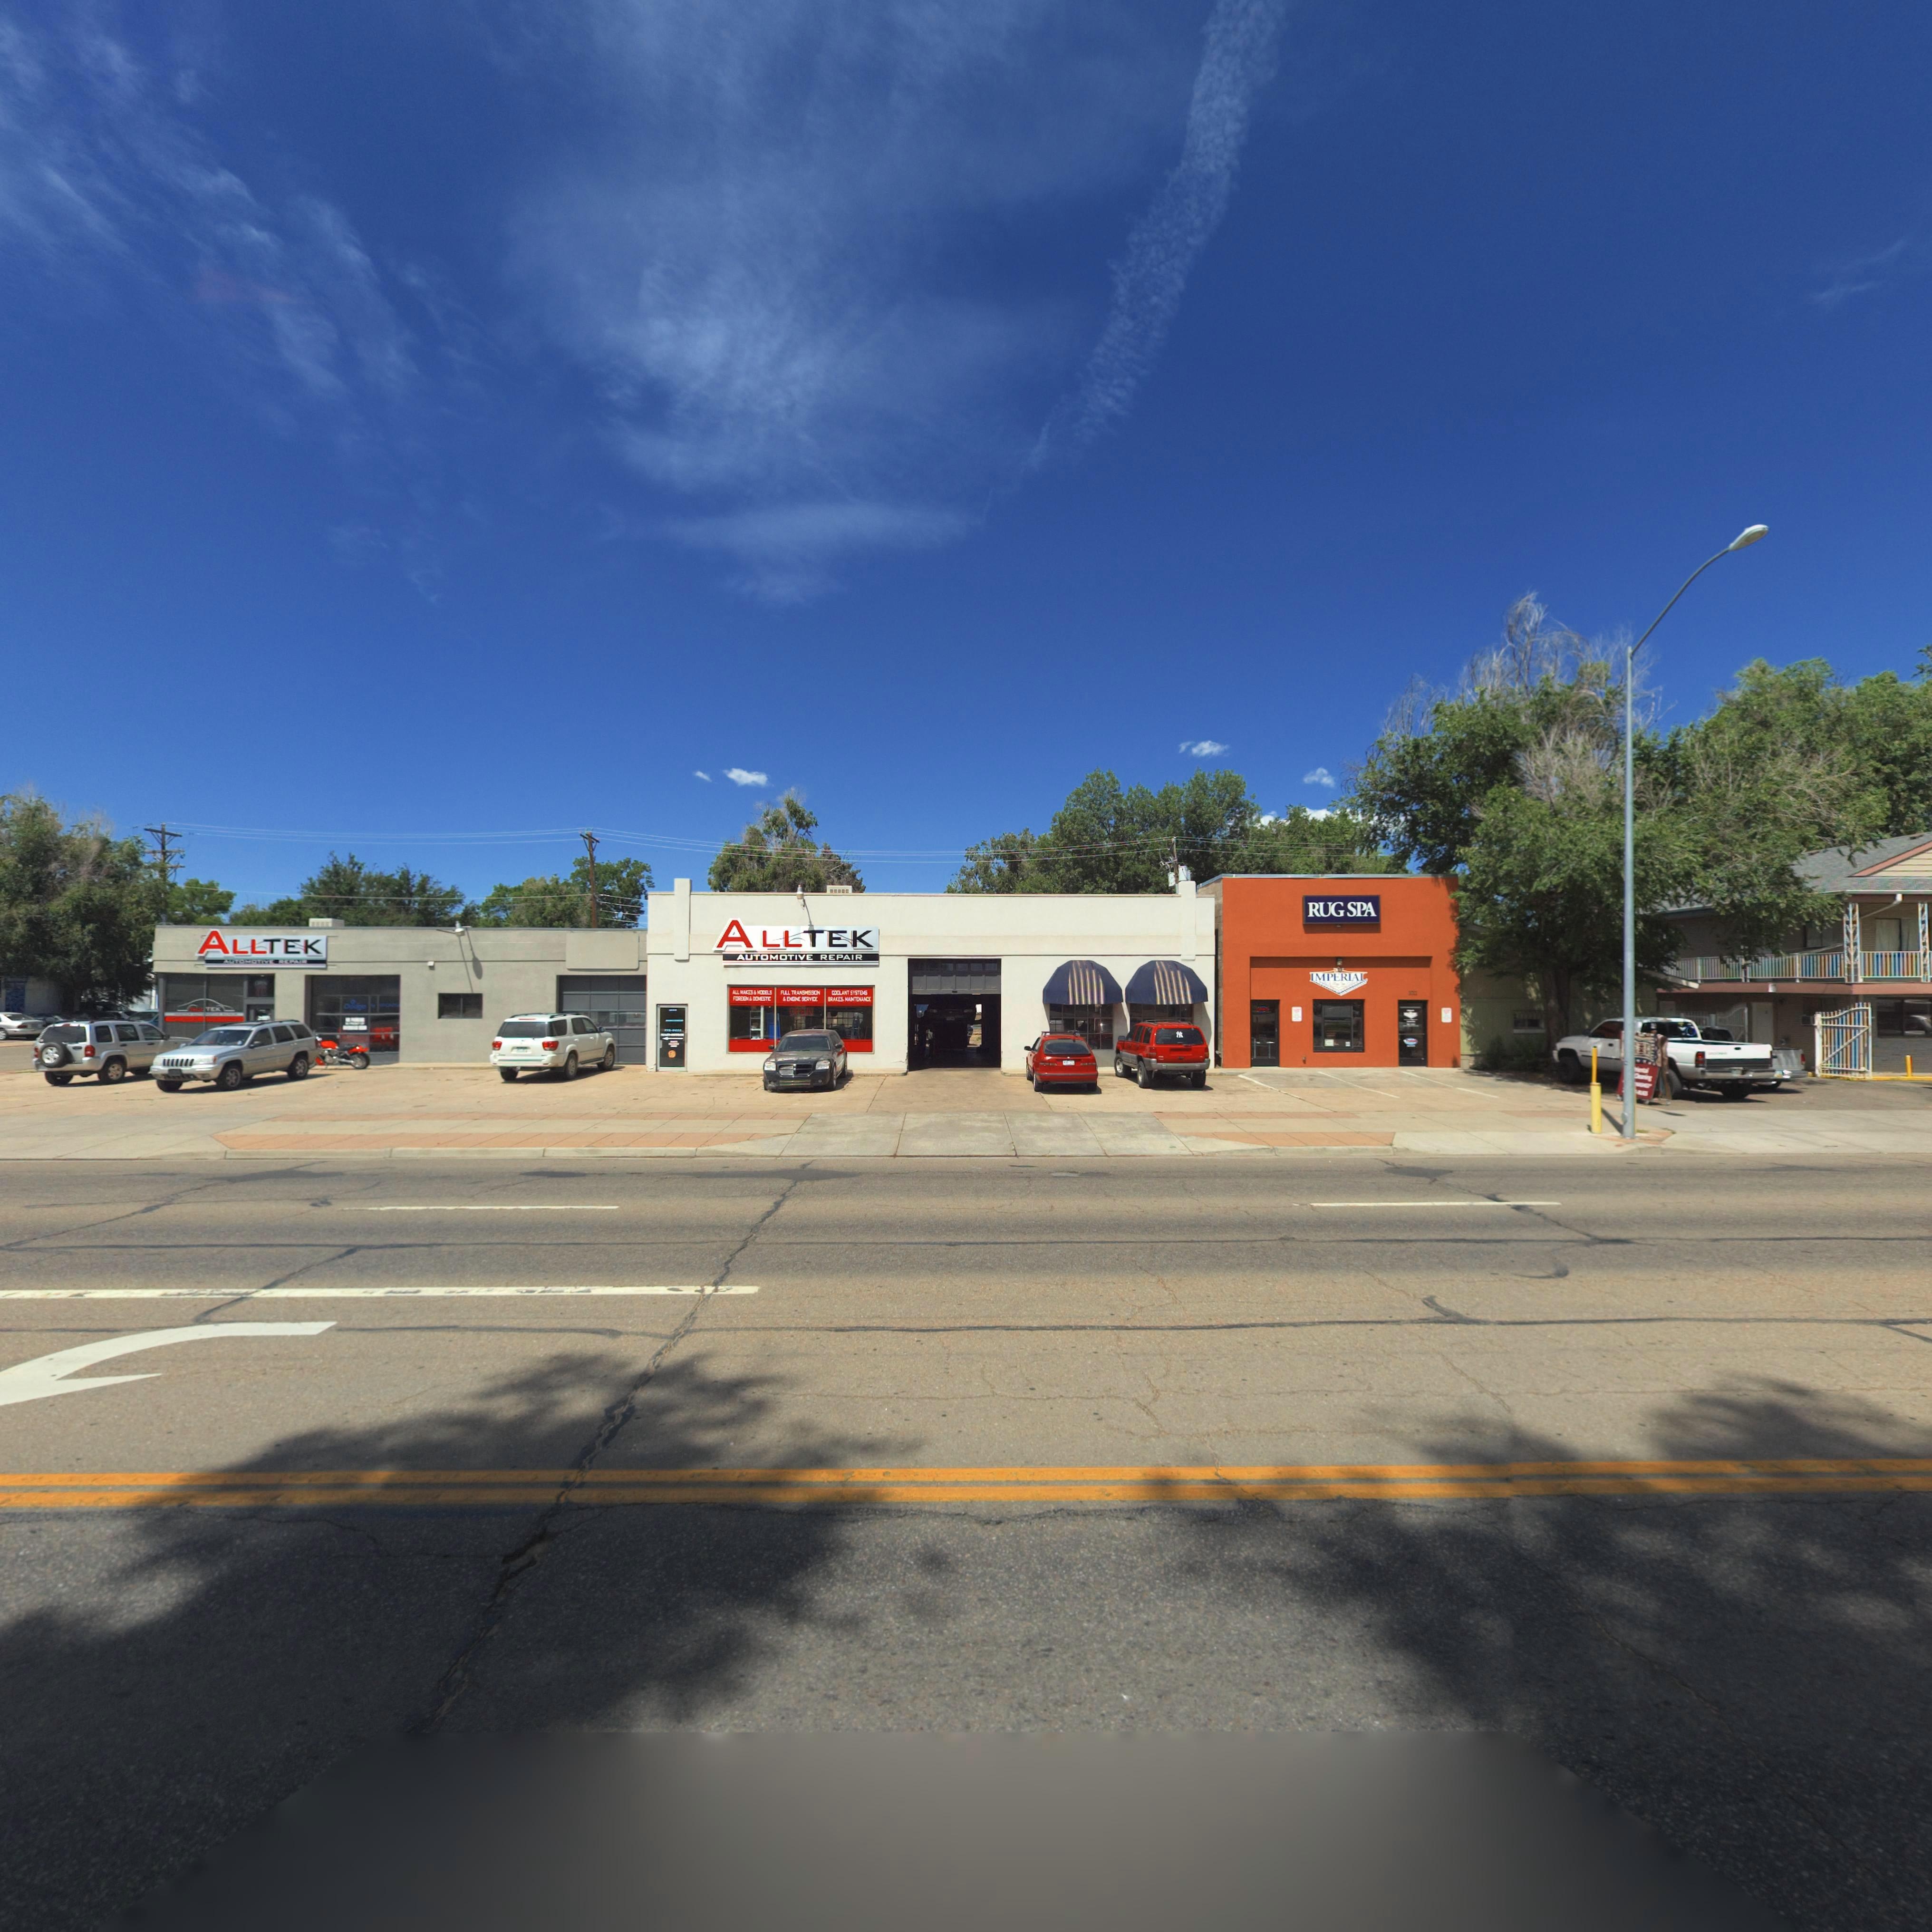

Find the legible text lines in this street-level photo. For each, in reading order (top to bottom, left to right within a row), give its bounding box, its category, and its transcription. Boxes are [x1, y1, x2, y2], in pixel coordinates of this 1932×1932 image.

[1307, 901, 1377, 916] BusinessName: RUG SPA
[715, 919, 873, 947] BusinessName: ALLTEK
[193, 927, 323, 955] BusinessName: ALLTEK
[222, 959, 307, 964] None: AUTOMOTIVE REPAIR
[736, 954, 862, 961] BusinessName: AUTOMOTIVE REPAIR
[1309, 973, 1367, 981] BusinessName: IMPERIAL
[188, 1007, 221, 1011] BusinessName: ALLTEK